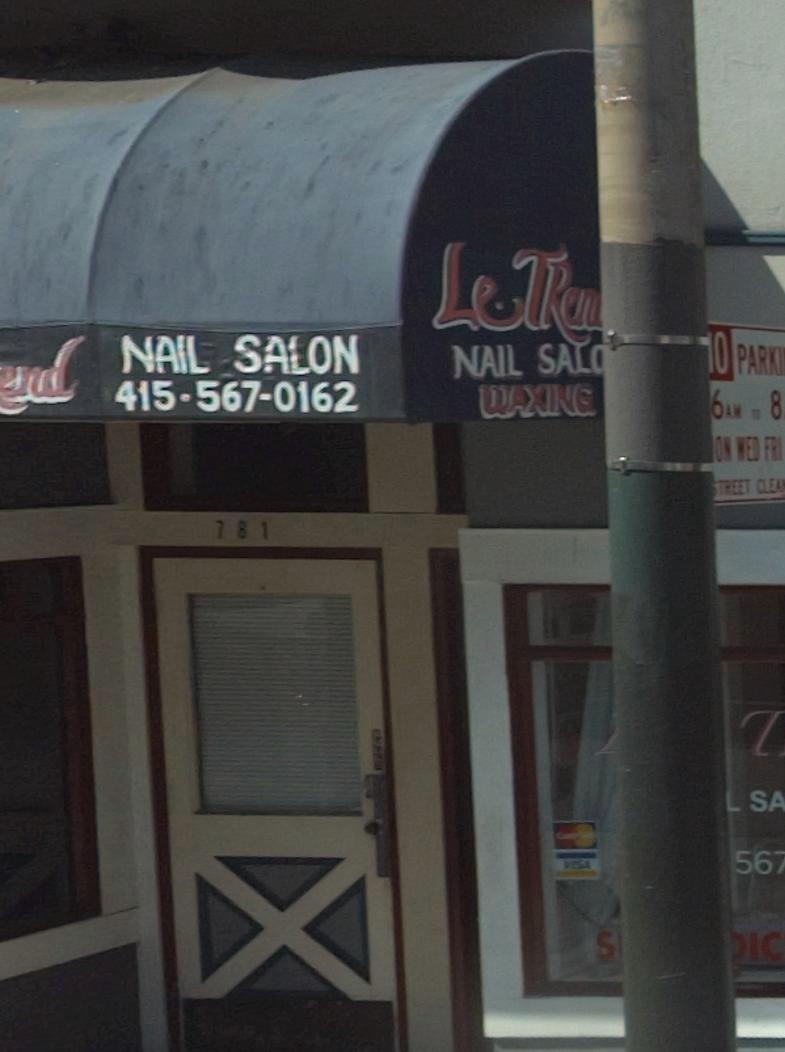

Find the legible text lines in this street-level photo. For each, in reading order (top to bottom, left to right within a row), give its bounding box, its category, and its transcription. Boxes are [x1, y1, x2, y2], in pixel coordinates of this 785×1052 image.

[432, 236, 600, 349] BusinessName: LeTRen
[0, 330, 94, 401] BusinessName: end
[115, 330, 361, 375] None: NAIL SALON
[450, 341, 593, 379] None: NAIL SAL
[713, 329, 781, 382] None: O PARK
[111, 379, 362, 413] None: 415-567-0162
[473, 381, 599, 418] None: WAXING
[707, 385, 785, 421] None: 6AM TO 8
[715, 434, 782, 463] None: ONB WED FRI
[716, 475, 782, 498] None: TREET CLEA
[213, 519, 269, 541] StreetNumber: 781
[746, 788, 784, 815] None: SA
[731, 849, 776, 877] None: 56
[746, 929, 783, 963] None: IC